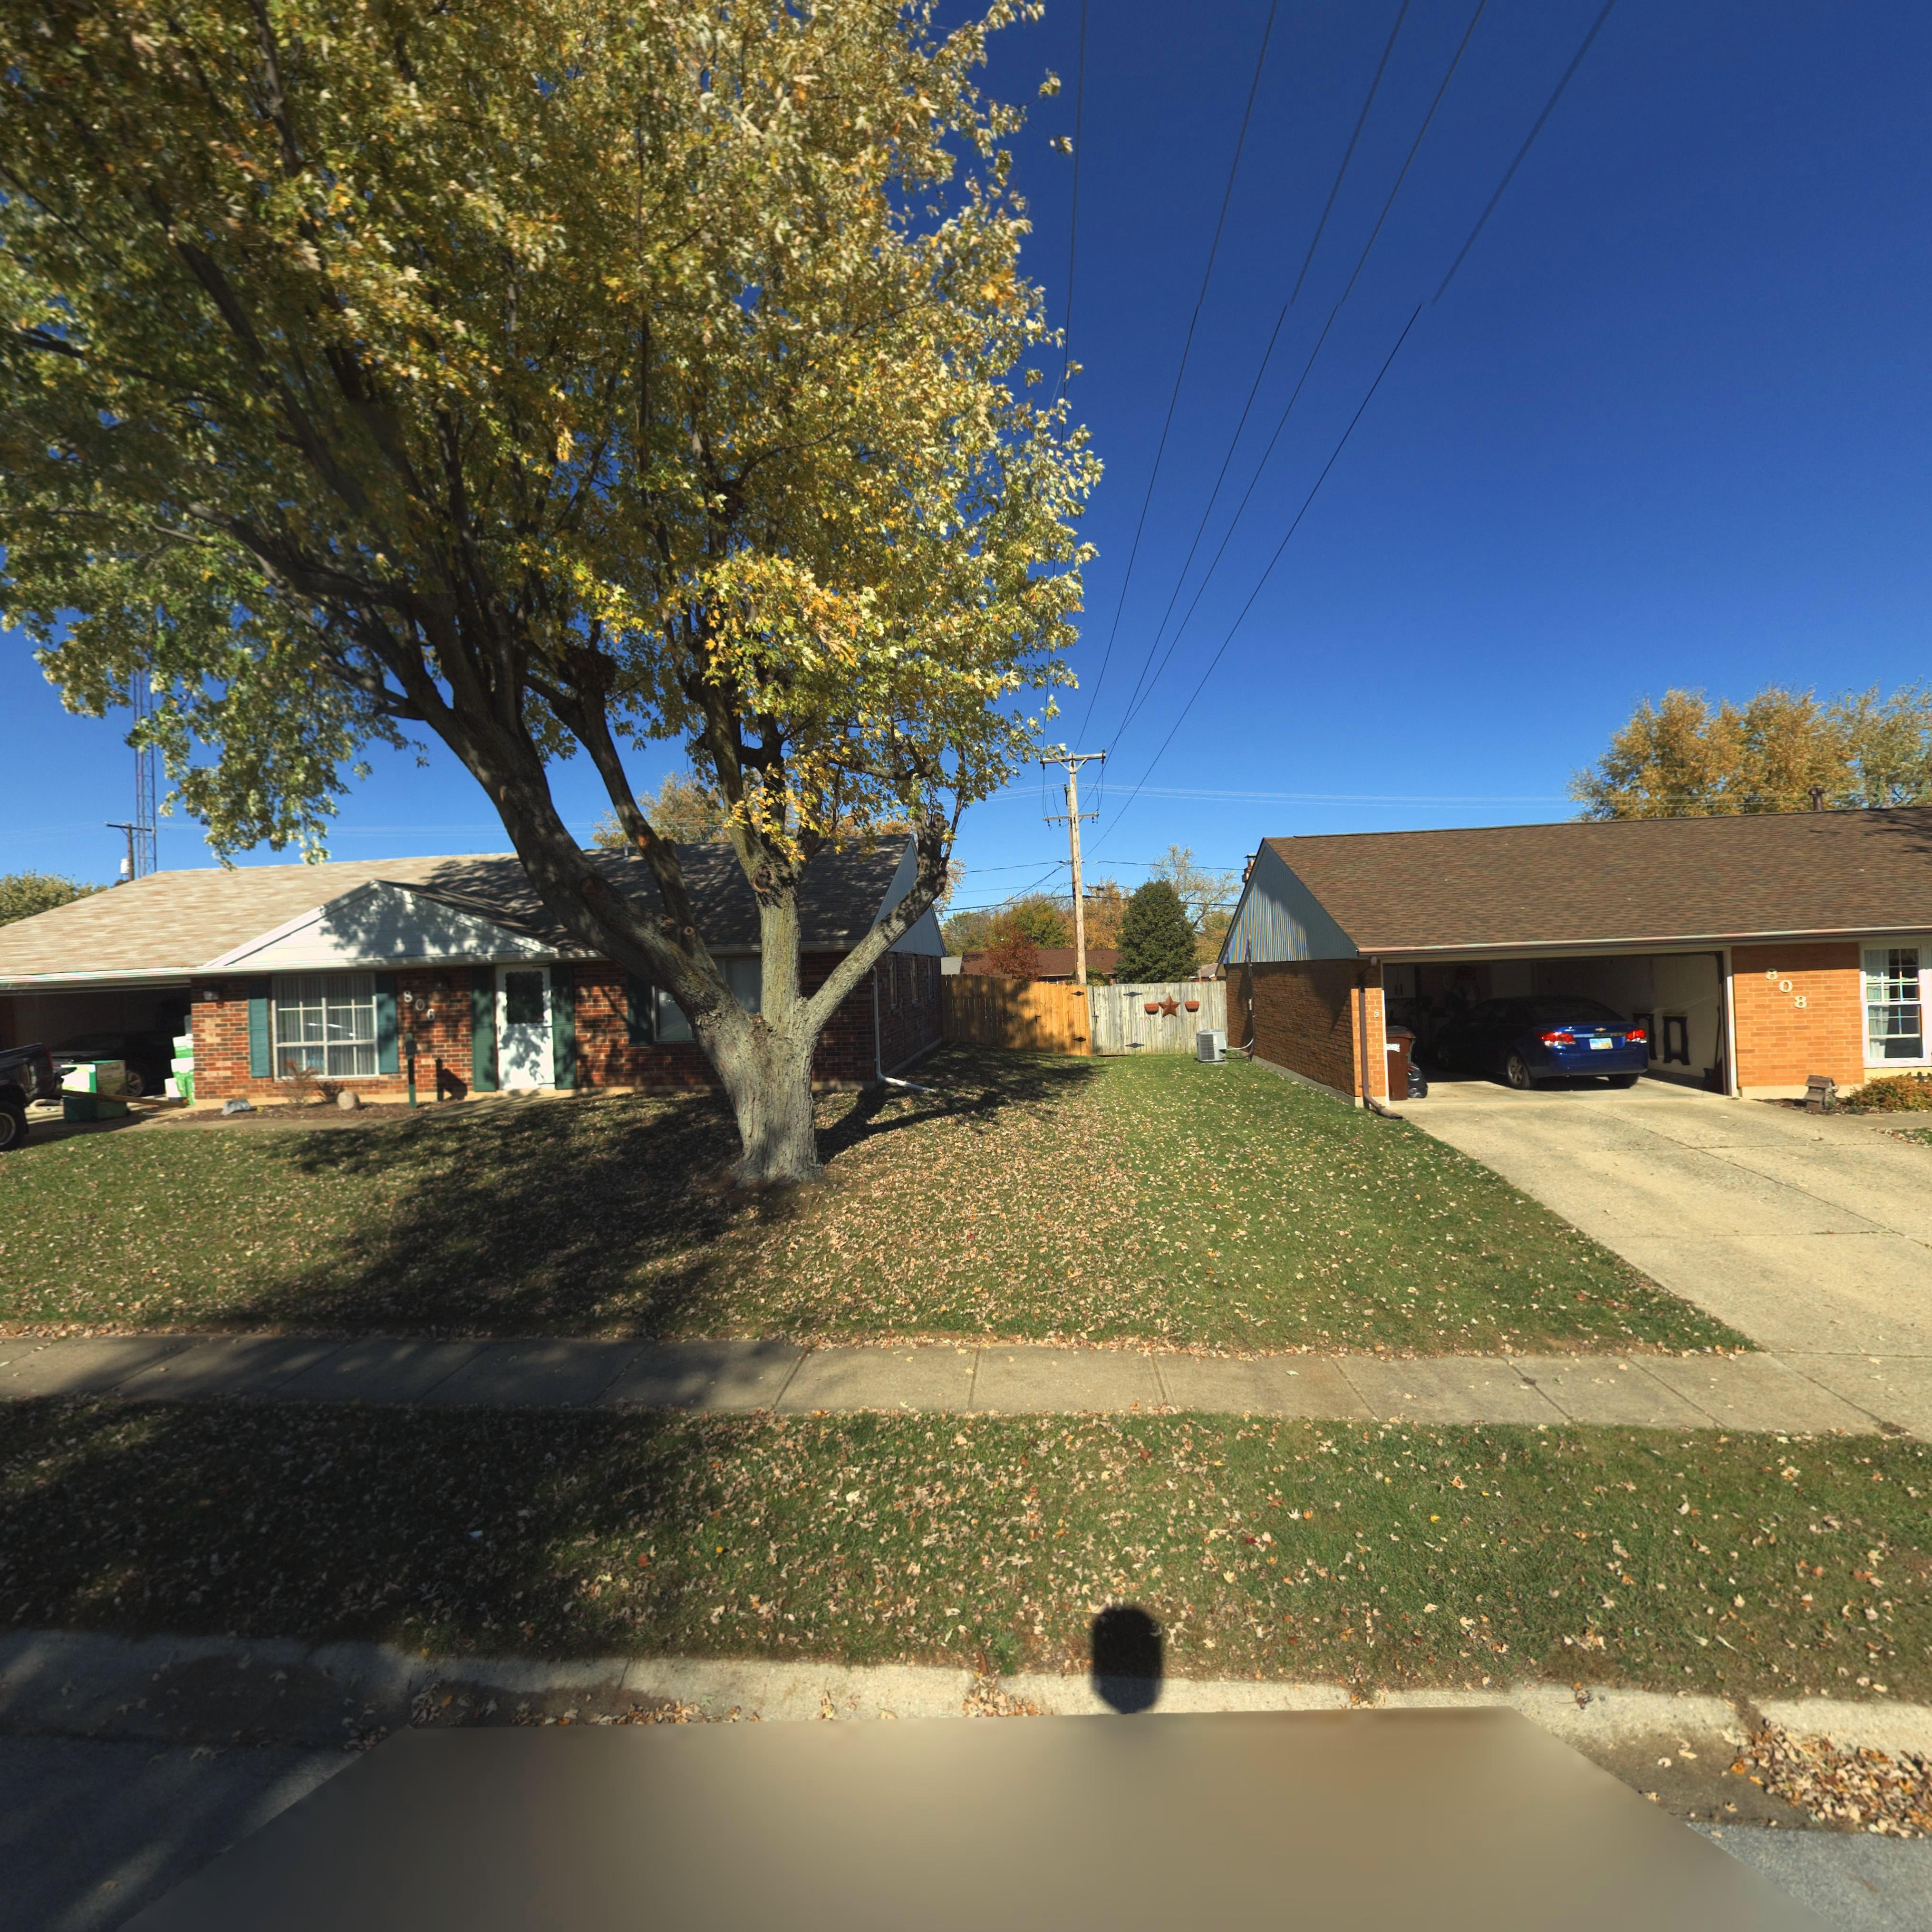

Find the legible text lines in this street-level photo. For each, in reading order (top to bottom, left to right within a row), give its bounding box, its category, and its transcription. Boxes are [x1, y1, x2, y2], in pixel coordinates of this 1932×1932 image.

[403, 989, 435, 1022] StreetNumber: 806
[1765, 967, 1807, 1009] StreetNumber: 808